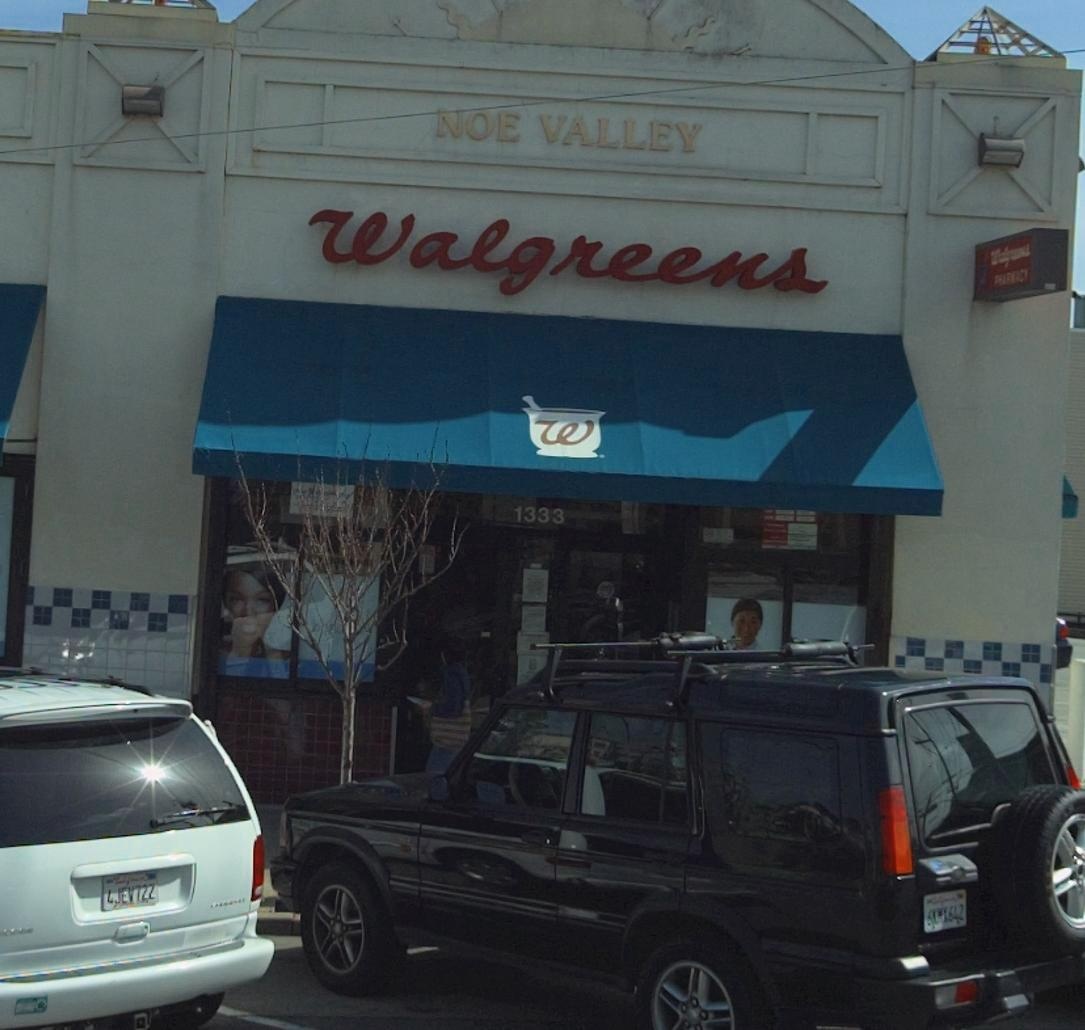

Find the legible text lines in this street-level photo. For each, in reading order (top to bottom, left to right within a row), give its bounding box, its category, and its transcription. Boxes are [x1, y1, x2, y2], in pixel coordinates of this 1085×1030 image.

[433, 103, 708, 157] None: NOE VALLEY
[303, 205, 833, 300] None: Walgreens
[987, 239, 1033, 270] None: Walgreens
[992, 265, 1030, 289] None: PHARMACY
[533, 417, 596, 448] None: W
[513, 504, 566, 526] StreetNumber: 1333
[104, 882, 160, 909] None: 4JEV72Z
[926, 901, 966, 932] None: 6KM*642